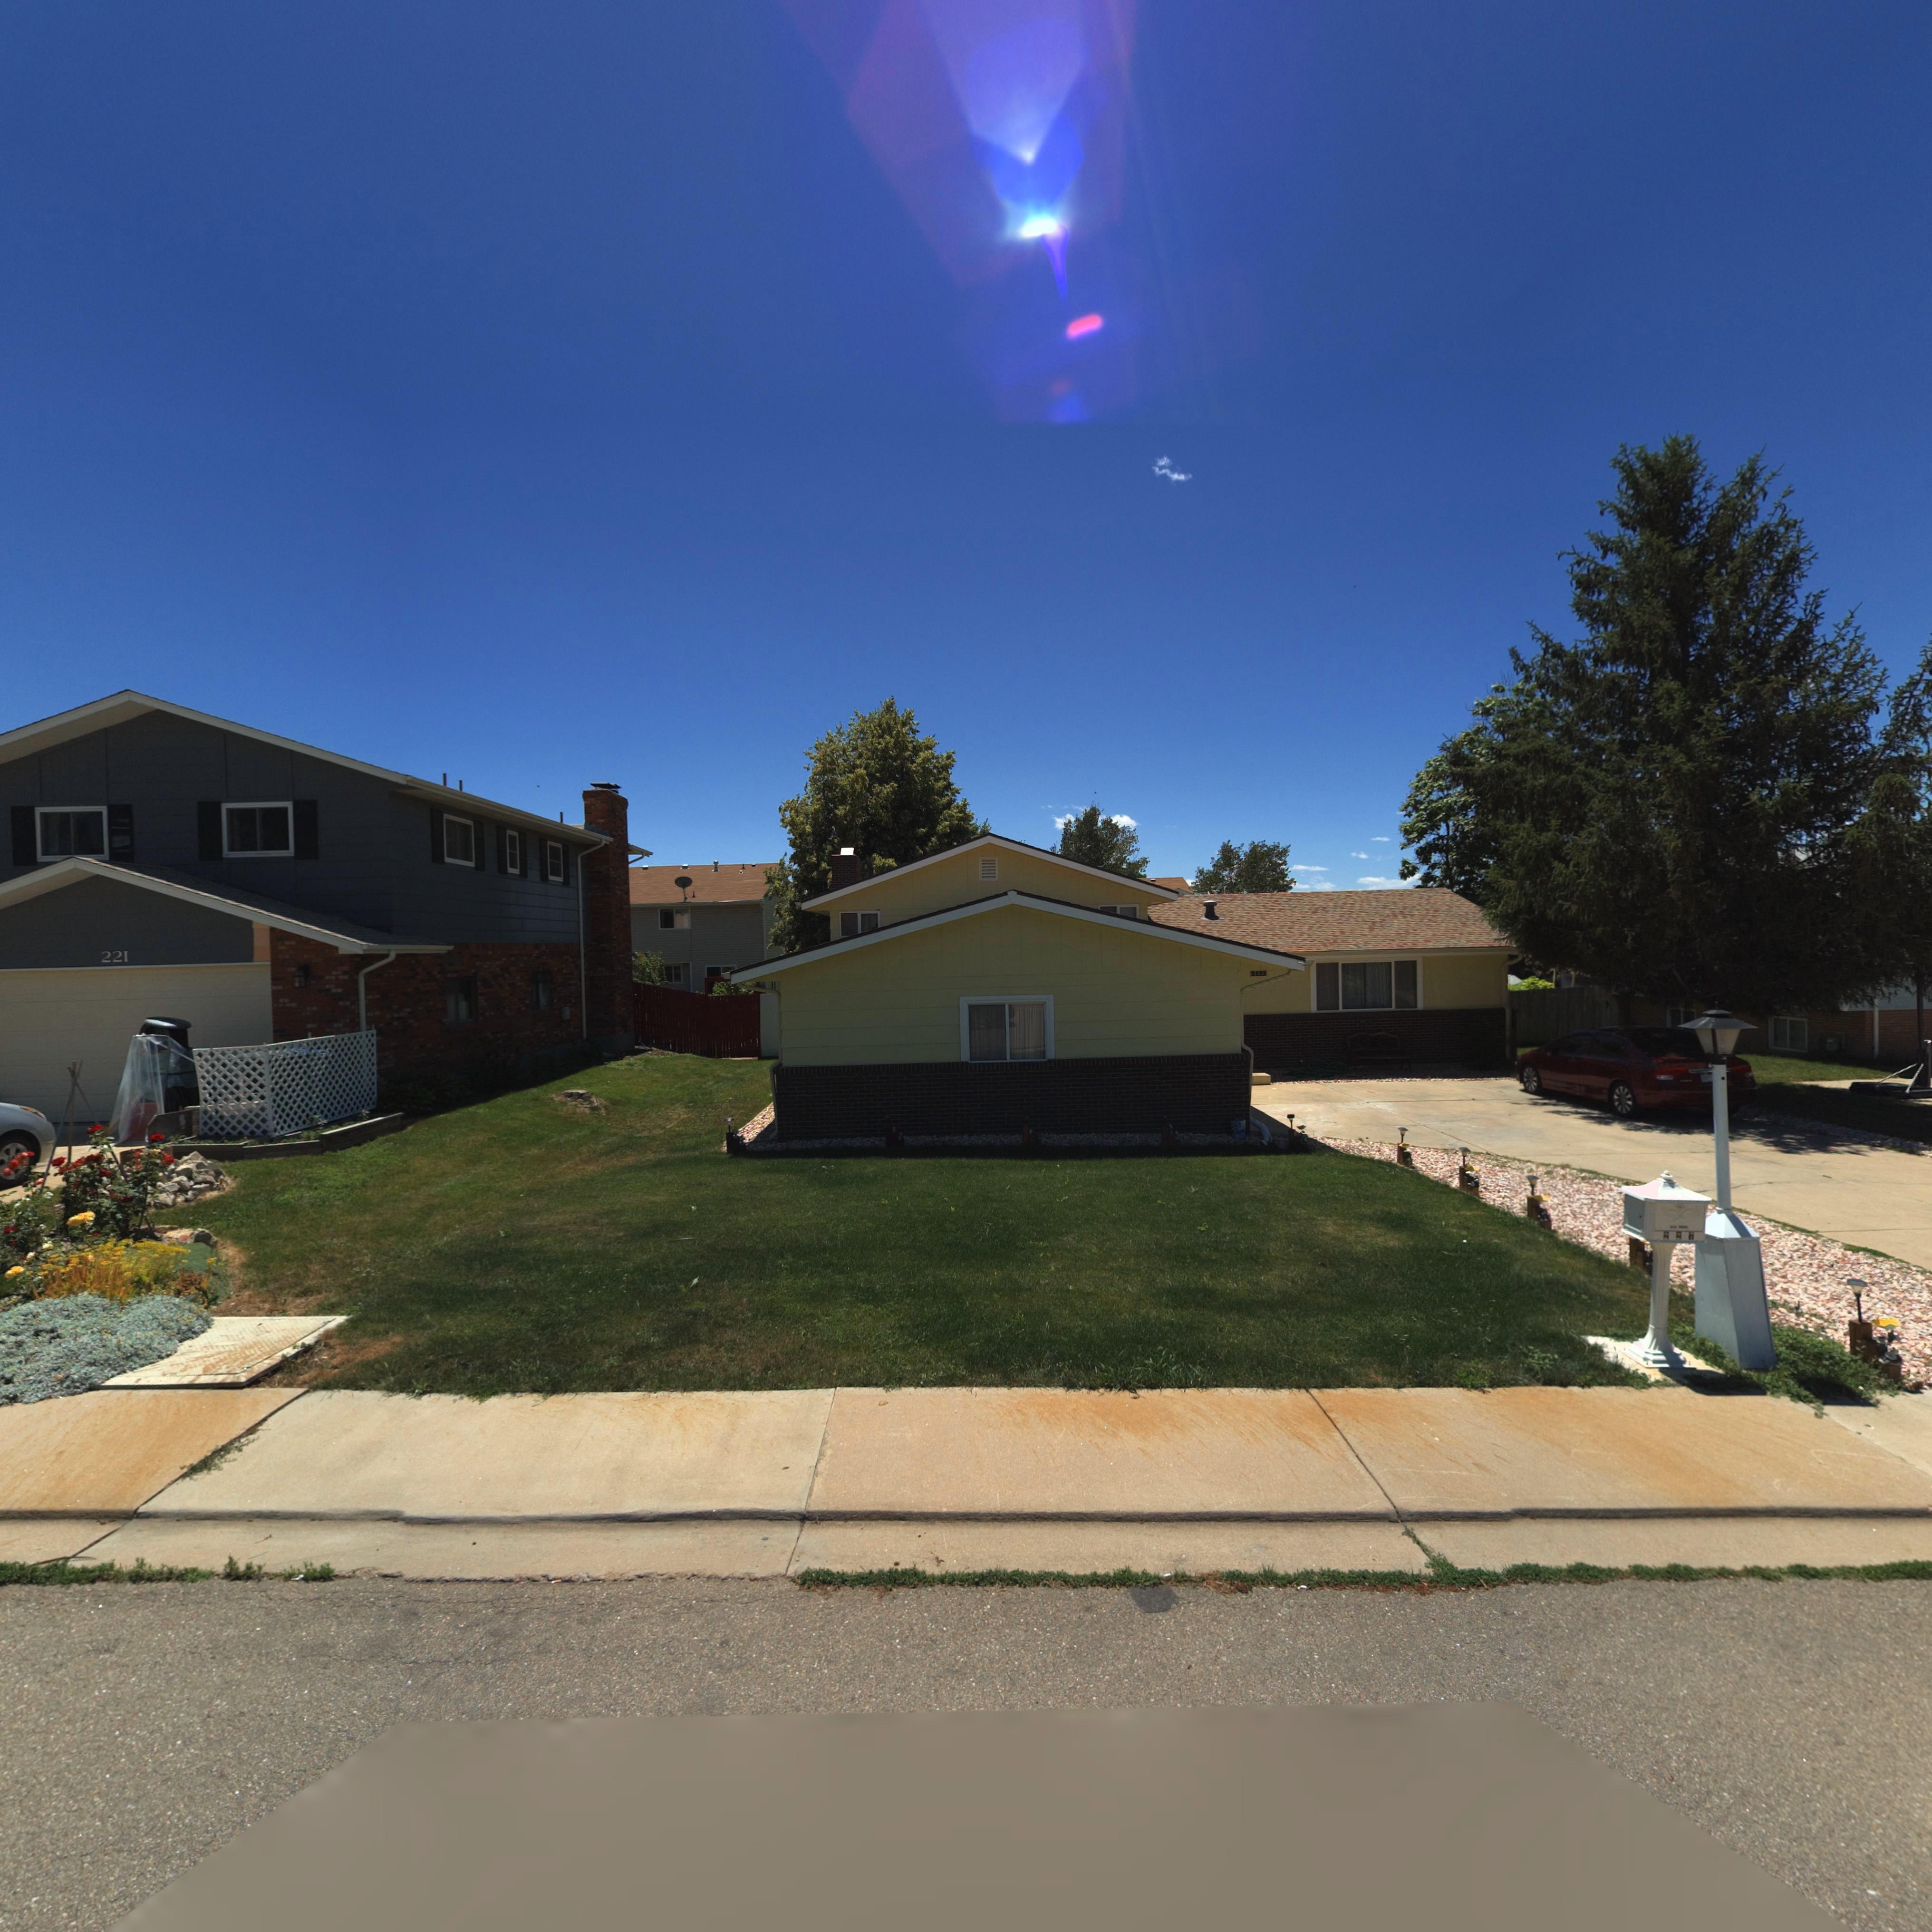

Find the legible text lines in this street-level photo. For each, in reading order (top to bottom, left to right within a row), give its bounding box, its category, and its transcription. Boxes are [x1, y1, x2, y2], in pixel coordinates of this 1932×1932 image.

[100, 950, 129, 963] StreetNumber: 221
[1253, 971, 1264, 976] StreetNumber: 22*
[1663, 1232, 1694, 1240] StreetNumber: 227